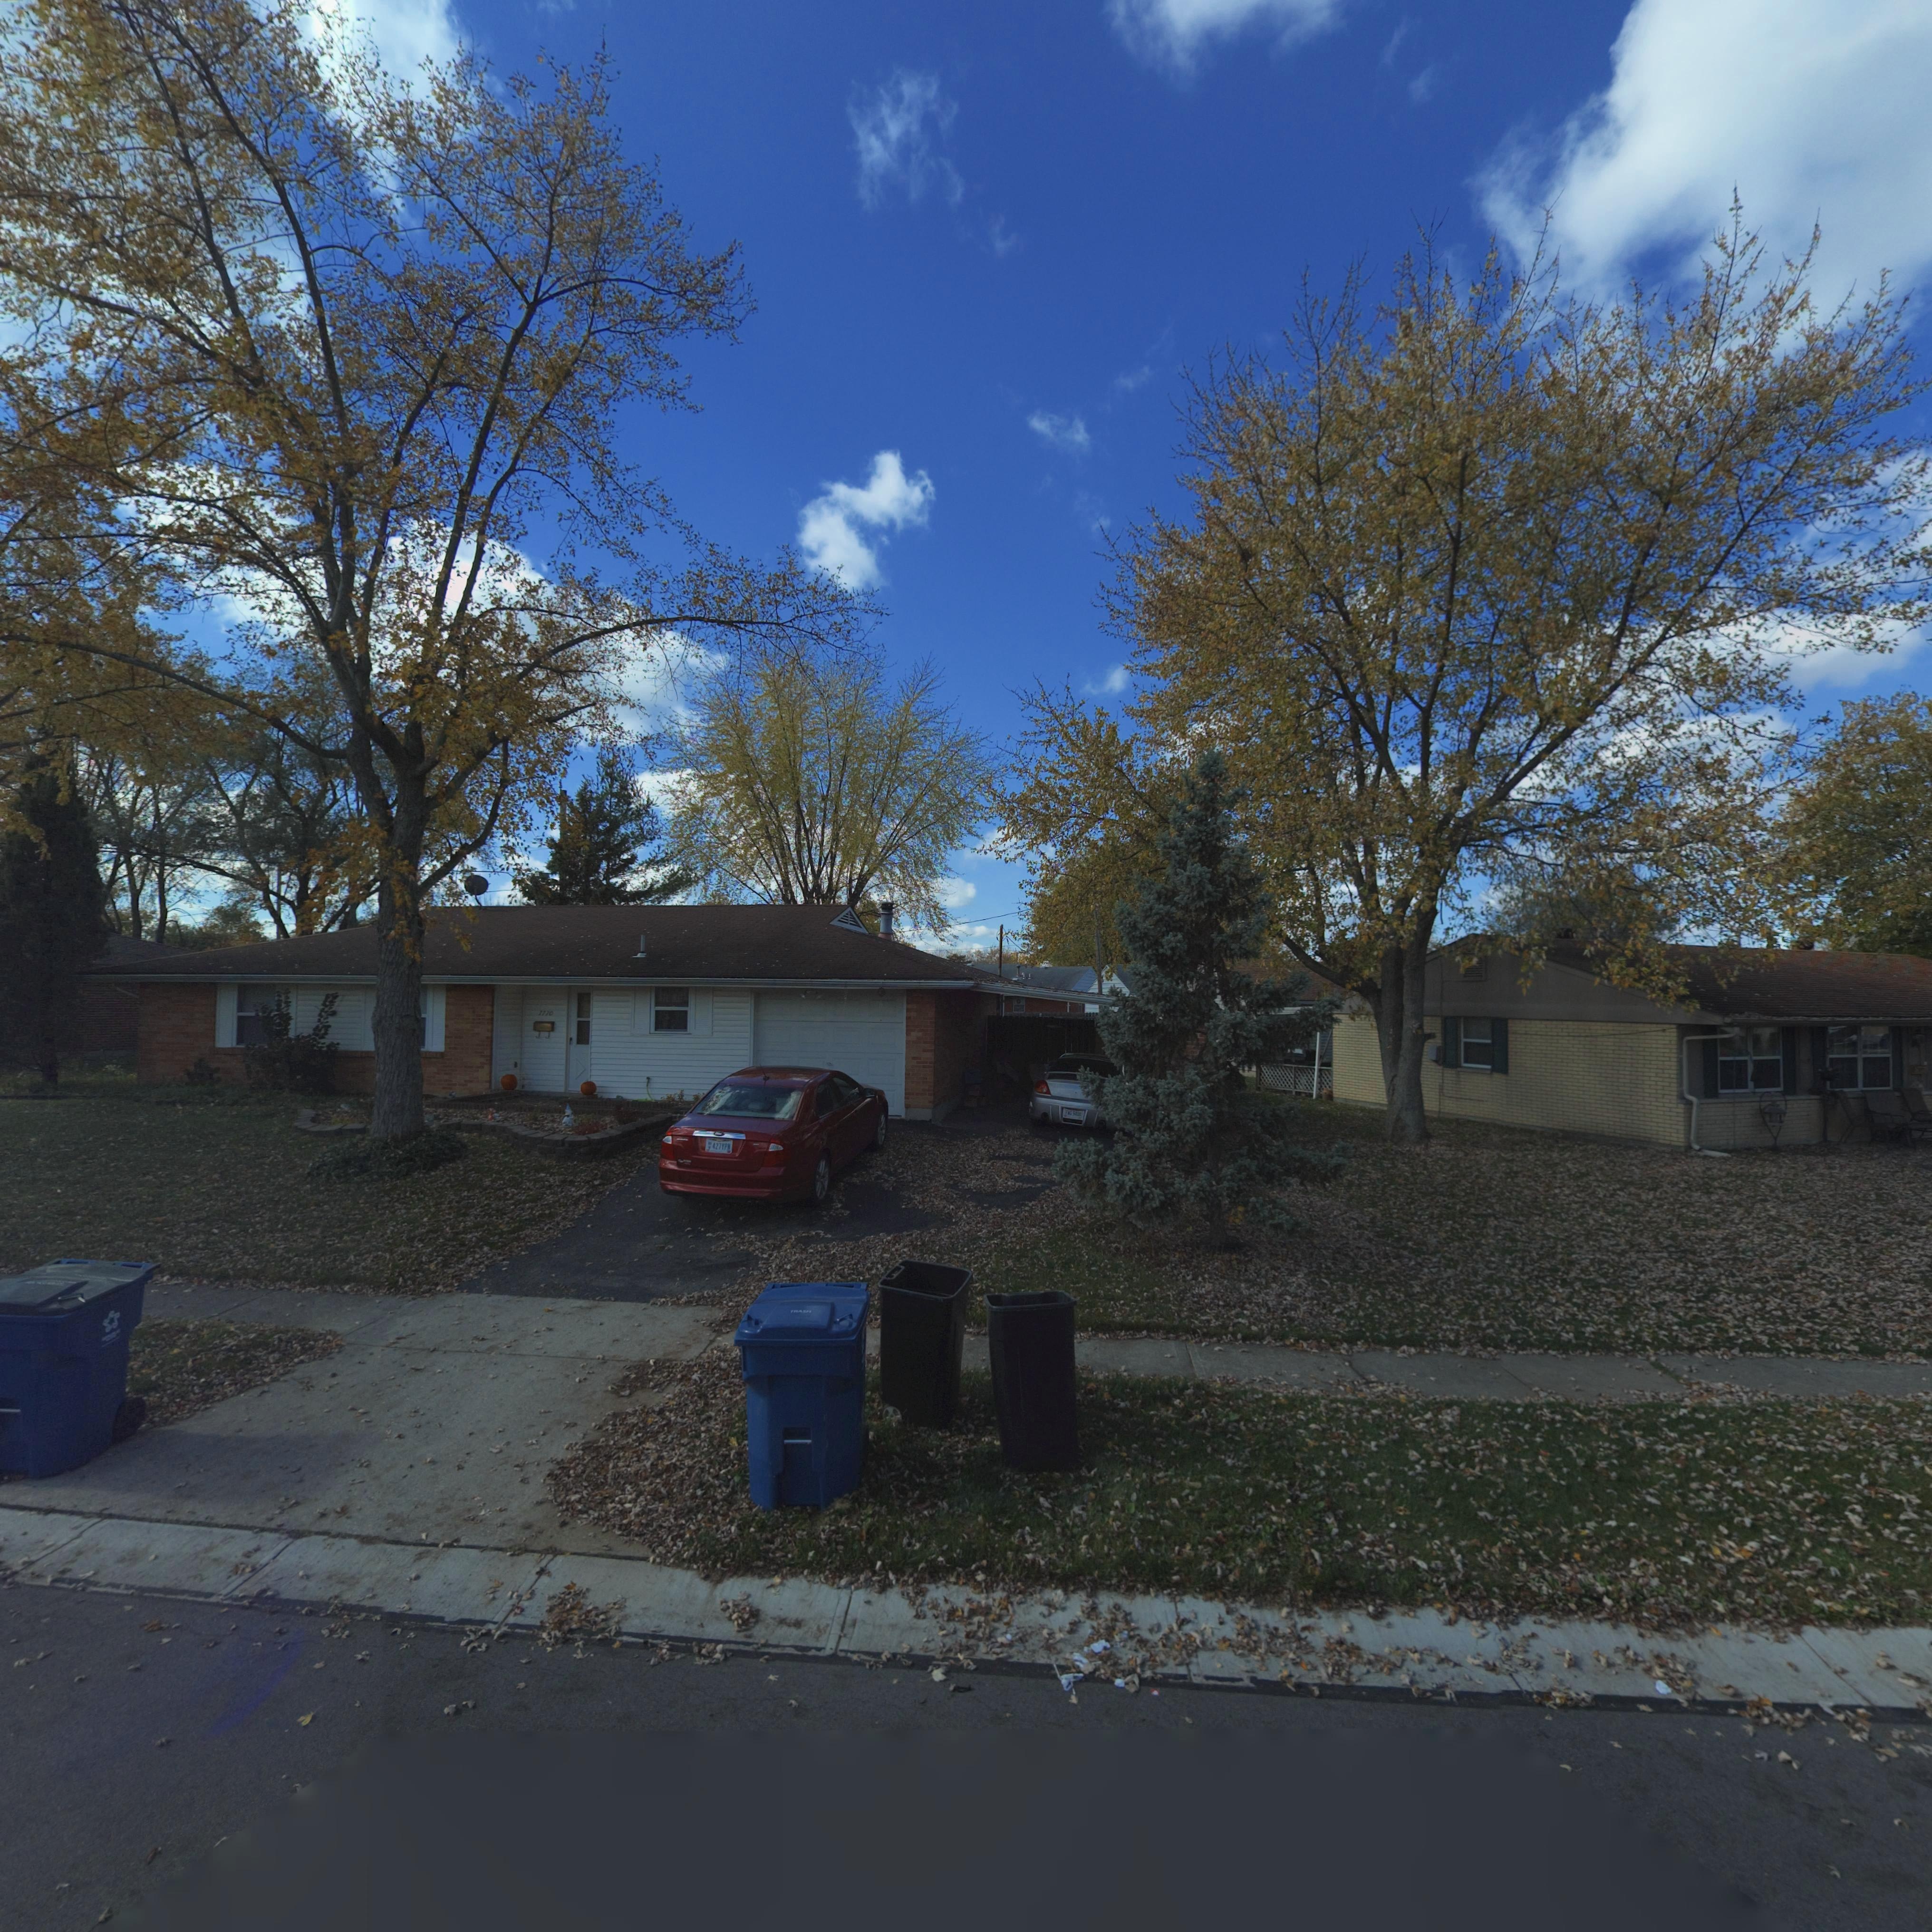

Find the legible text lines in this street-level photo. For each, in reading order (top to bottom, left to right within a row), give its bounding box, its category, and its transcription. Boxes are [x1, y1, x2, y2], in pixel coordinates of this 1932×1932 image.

[538, 1010, 553, 1016] StreetNumber: 7770